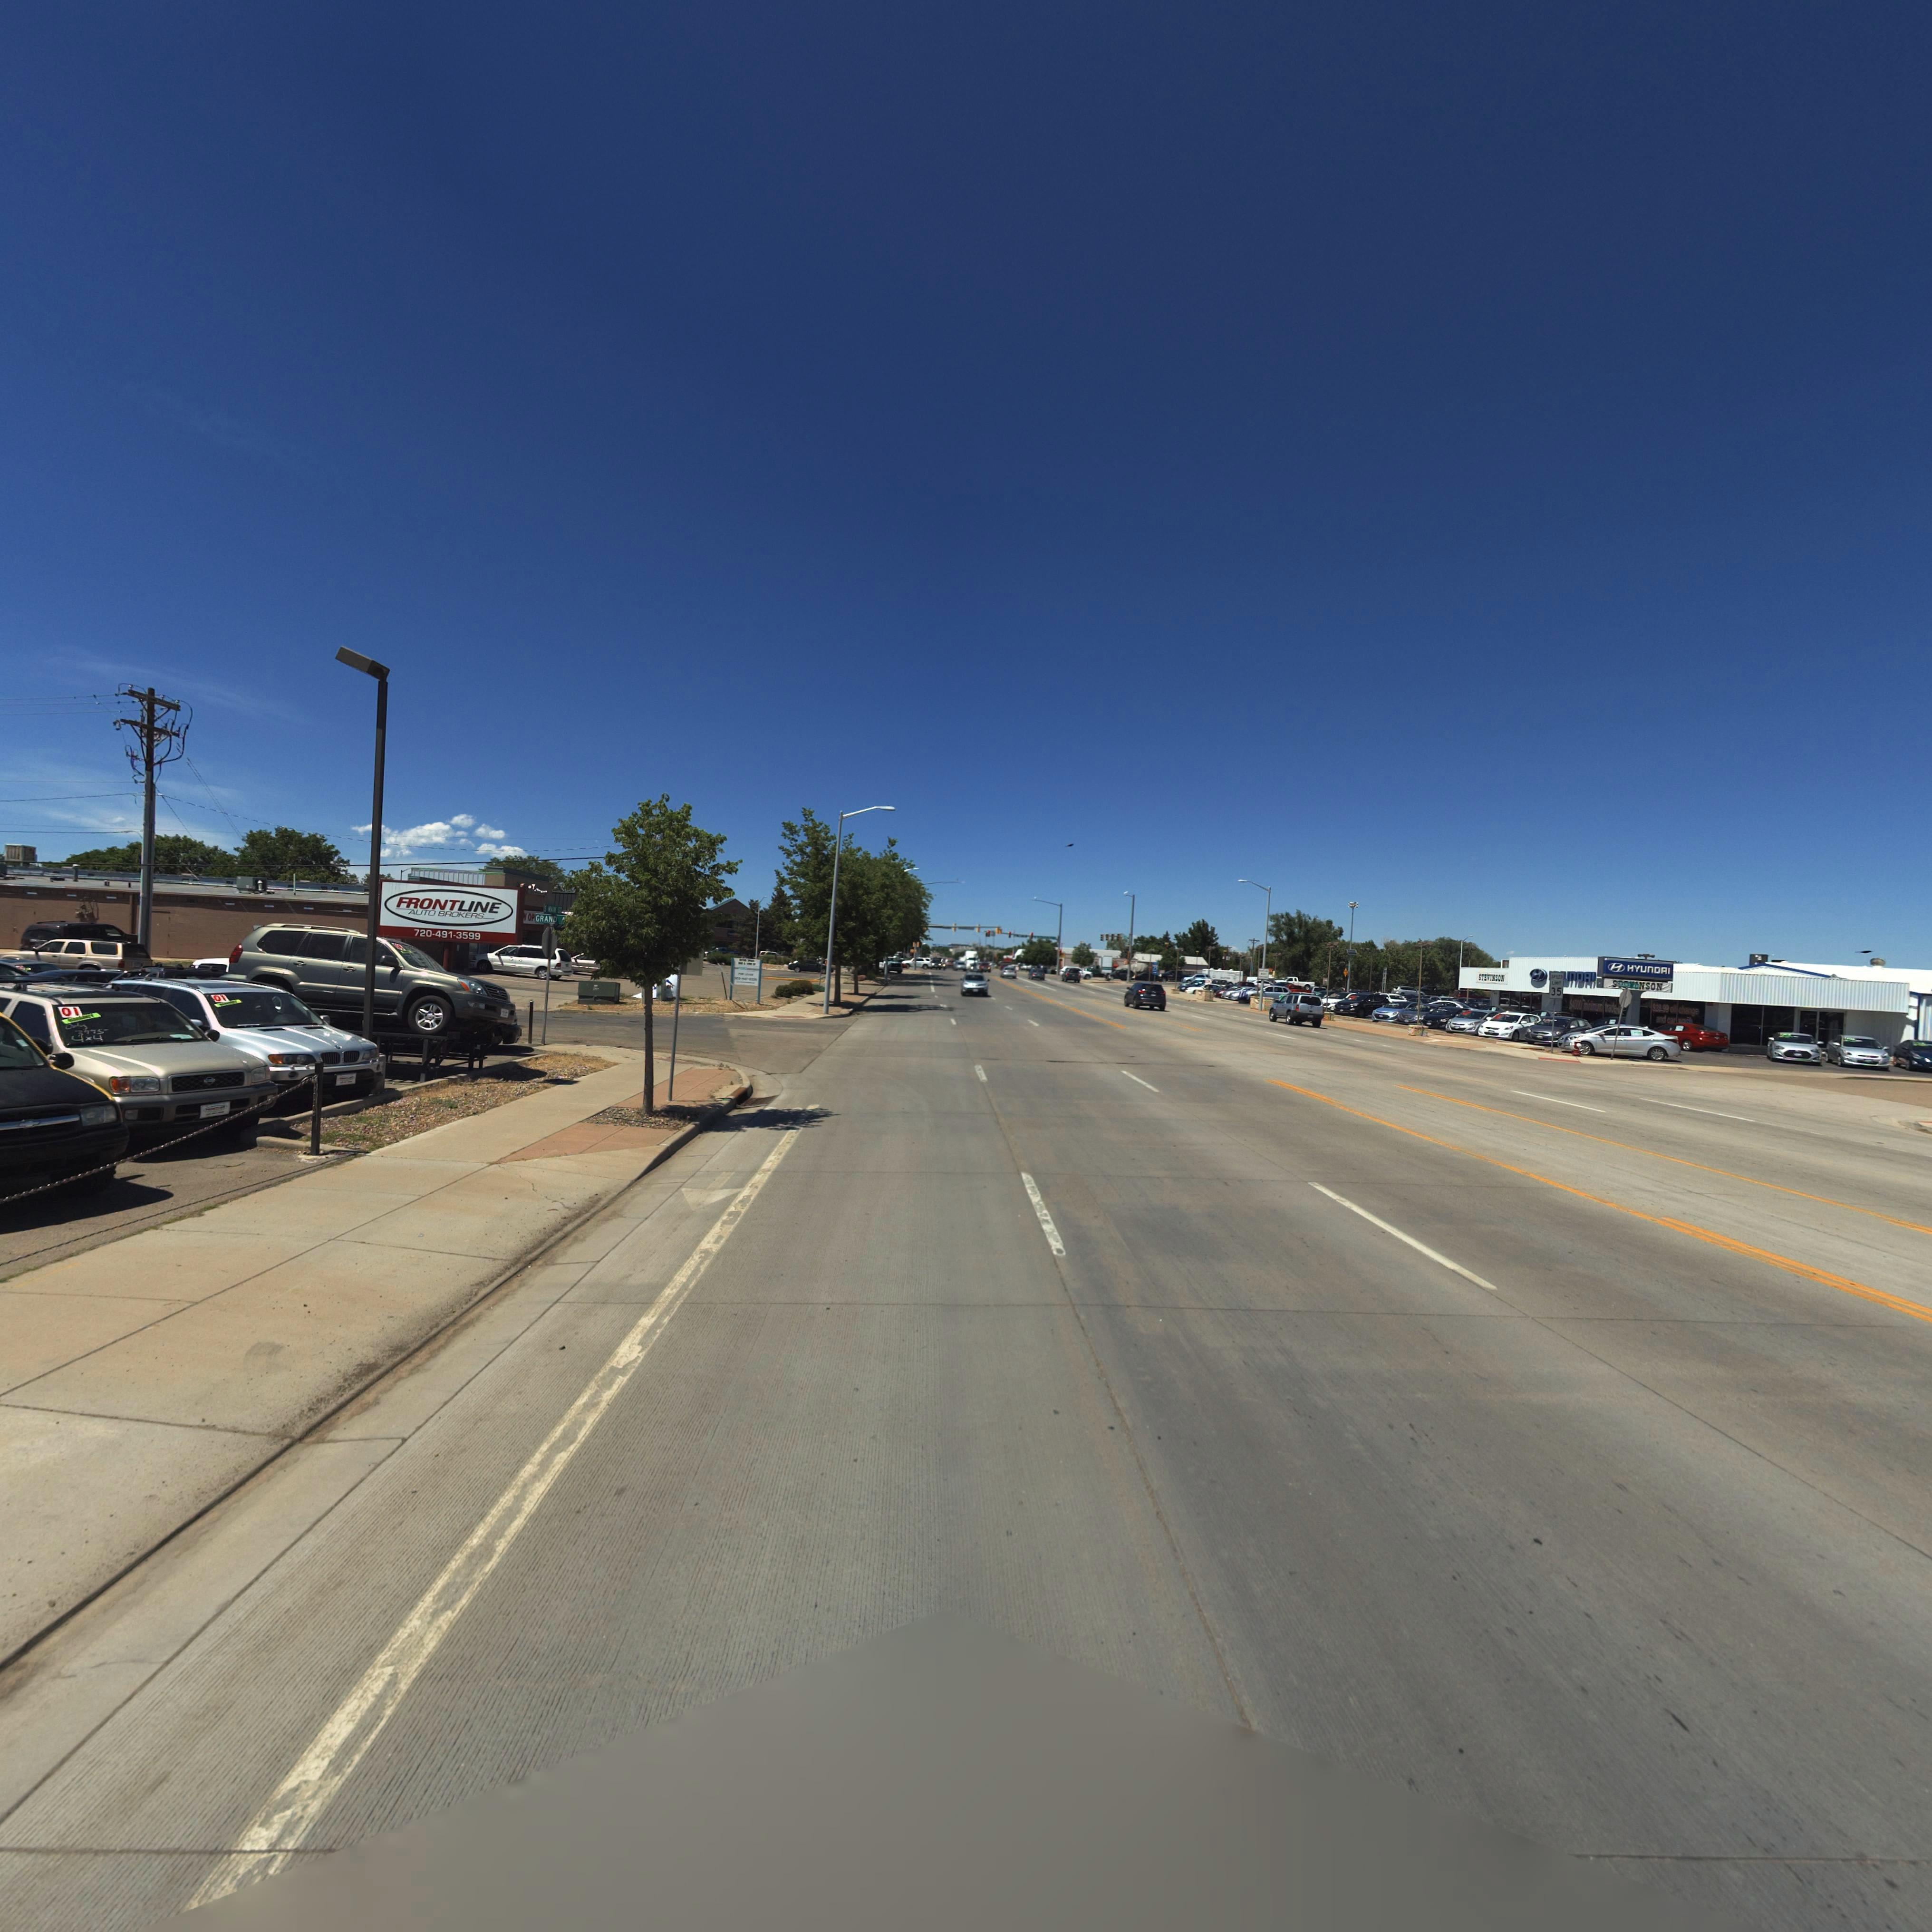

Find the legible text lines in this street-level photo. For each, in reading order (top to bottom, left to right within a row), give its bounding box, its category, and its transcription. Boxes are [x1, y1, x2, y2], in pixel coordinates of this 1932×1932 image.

[407, 908, 485, 919] BusinessName: AUTO BROKERS
[395, 896, 502, 914] BusinessName: FRONTLINE
[535, 915, 558, 923] StreetName: GRAND
[544, 904, 562, 914] StreetName: S MAIN ST
[1626, 964, 1670, 975] None: HYUnDAI
[1563, 971, 1596, 982] BusinessName: UnDAI
[1633, 981, 1663, 991] BusinessName: *NSON